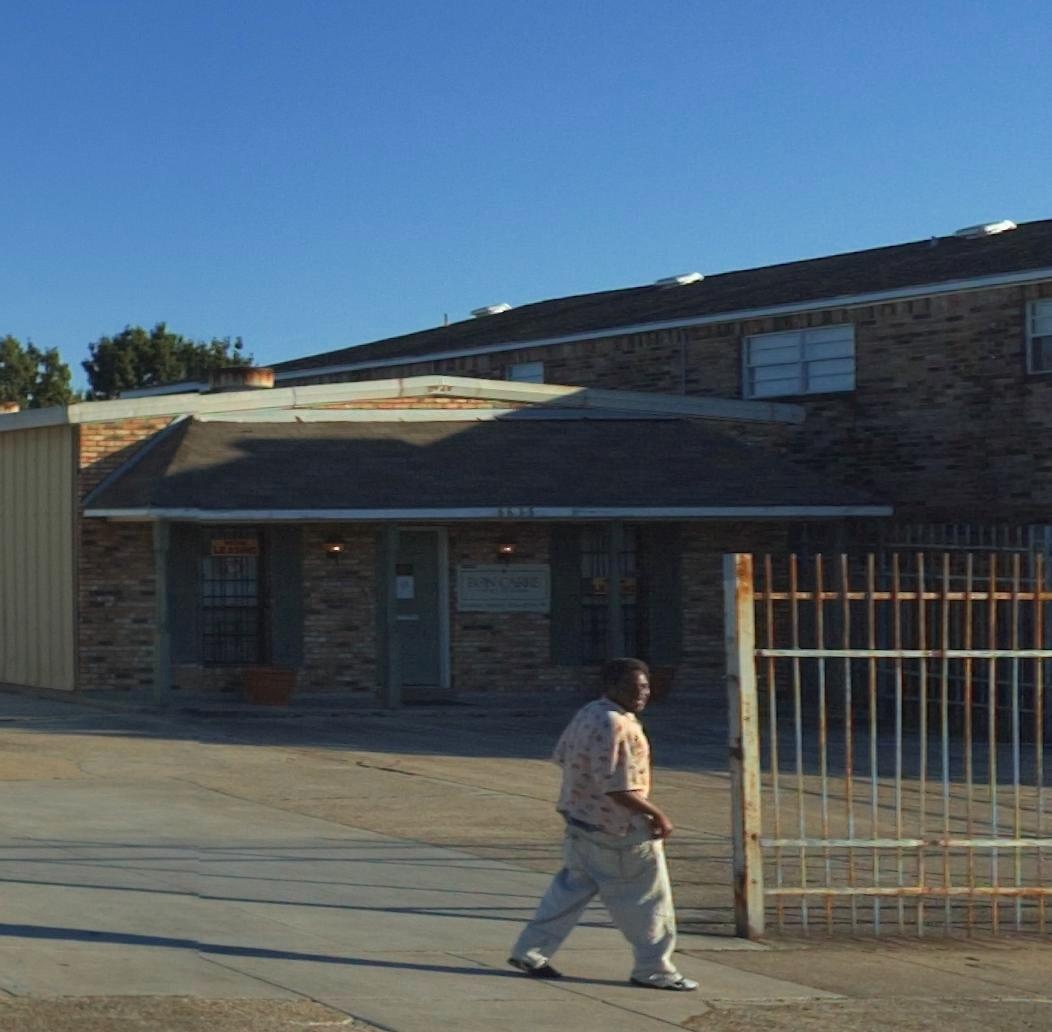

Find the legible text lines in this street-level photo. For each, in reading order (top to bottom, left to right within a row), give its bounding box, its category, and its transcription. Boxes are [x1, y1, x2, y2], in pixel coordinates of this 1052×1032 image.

[495, 505, 537, 518] StreetNumber: 66**